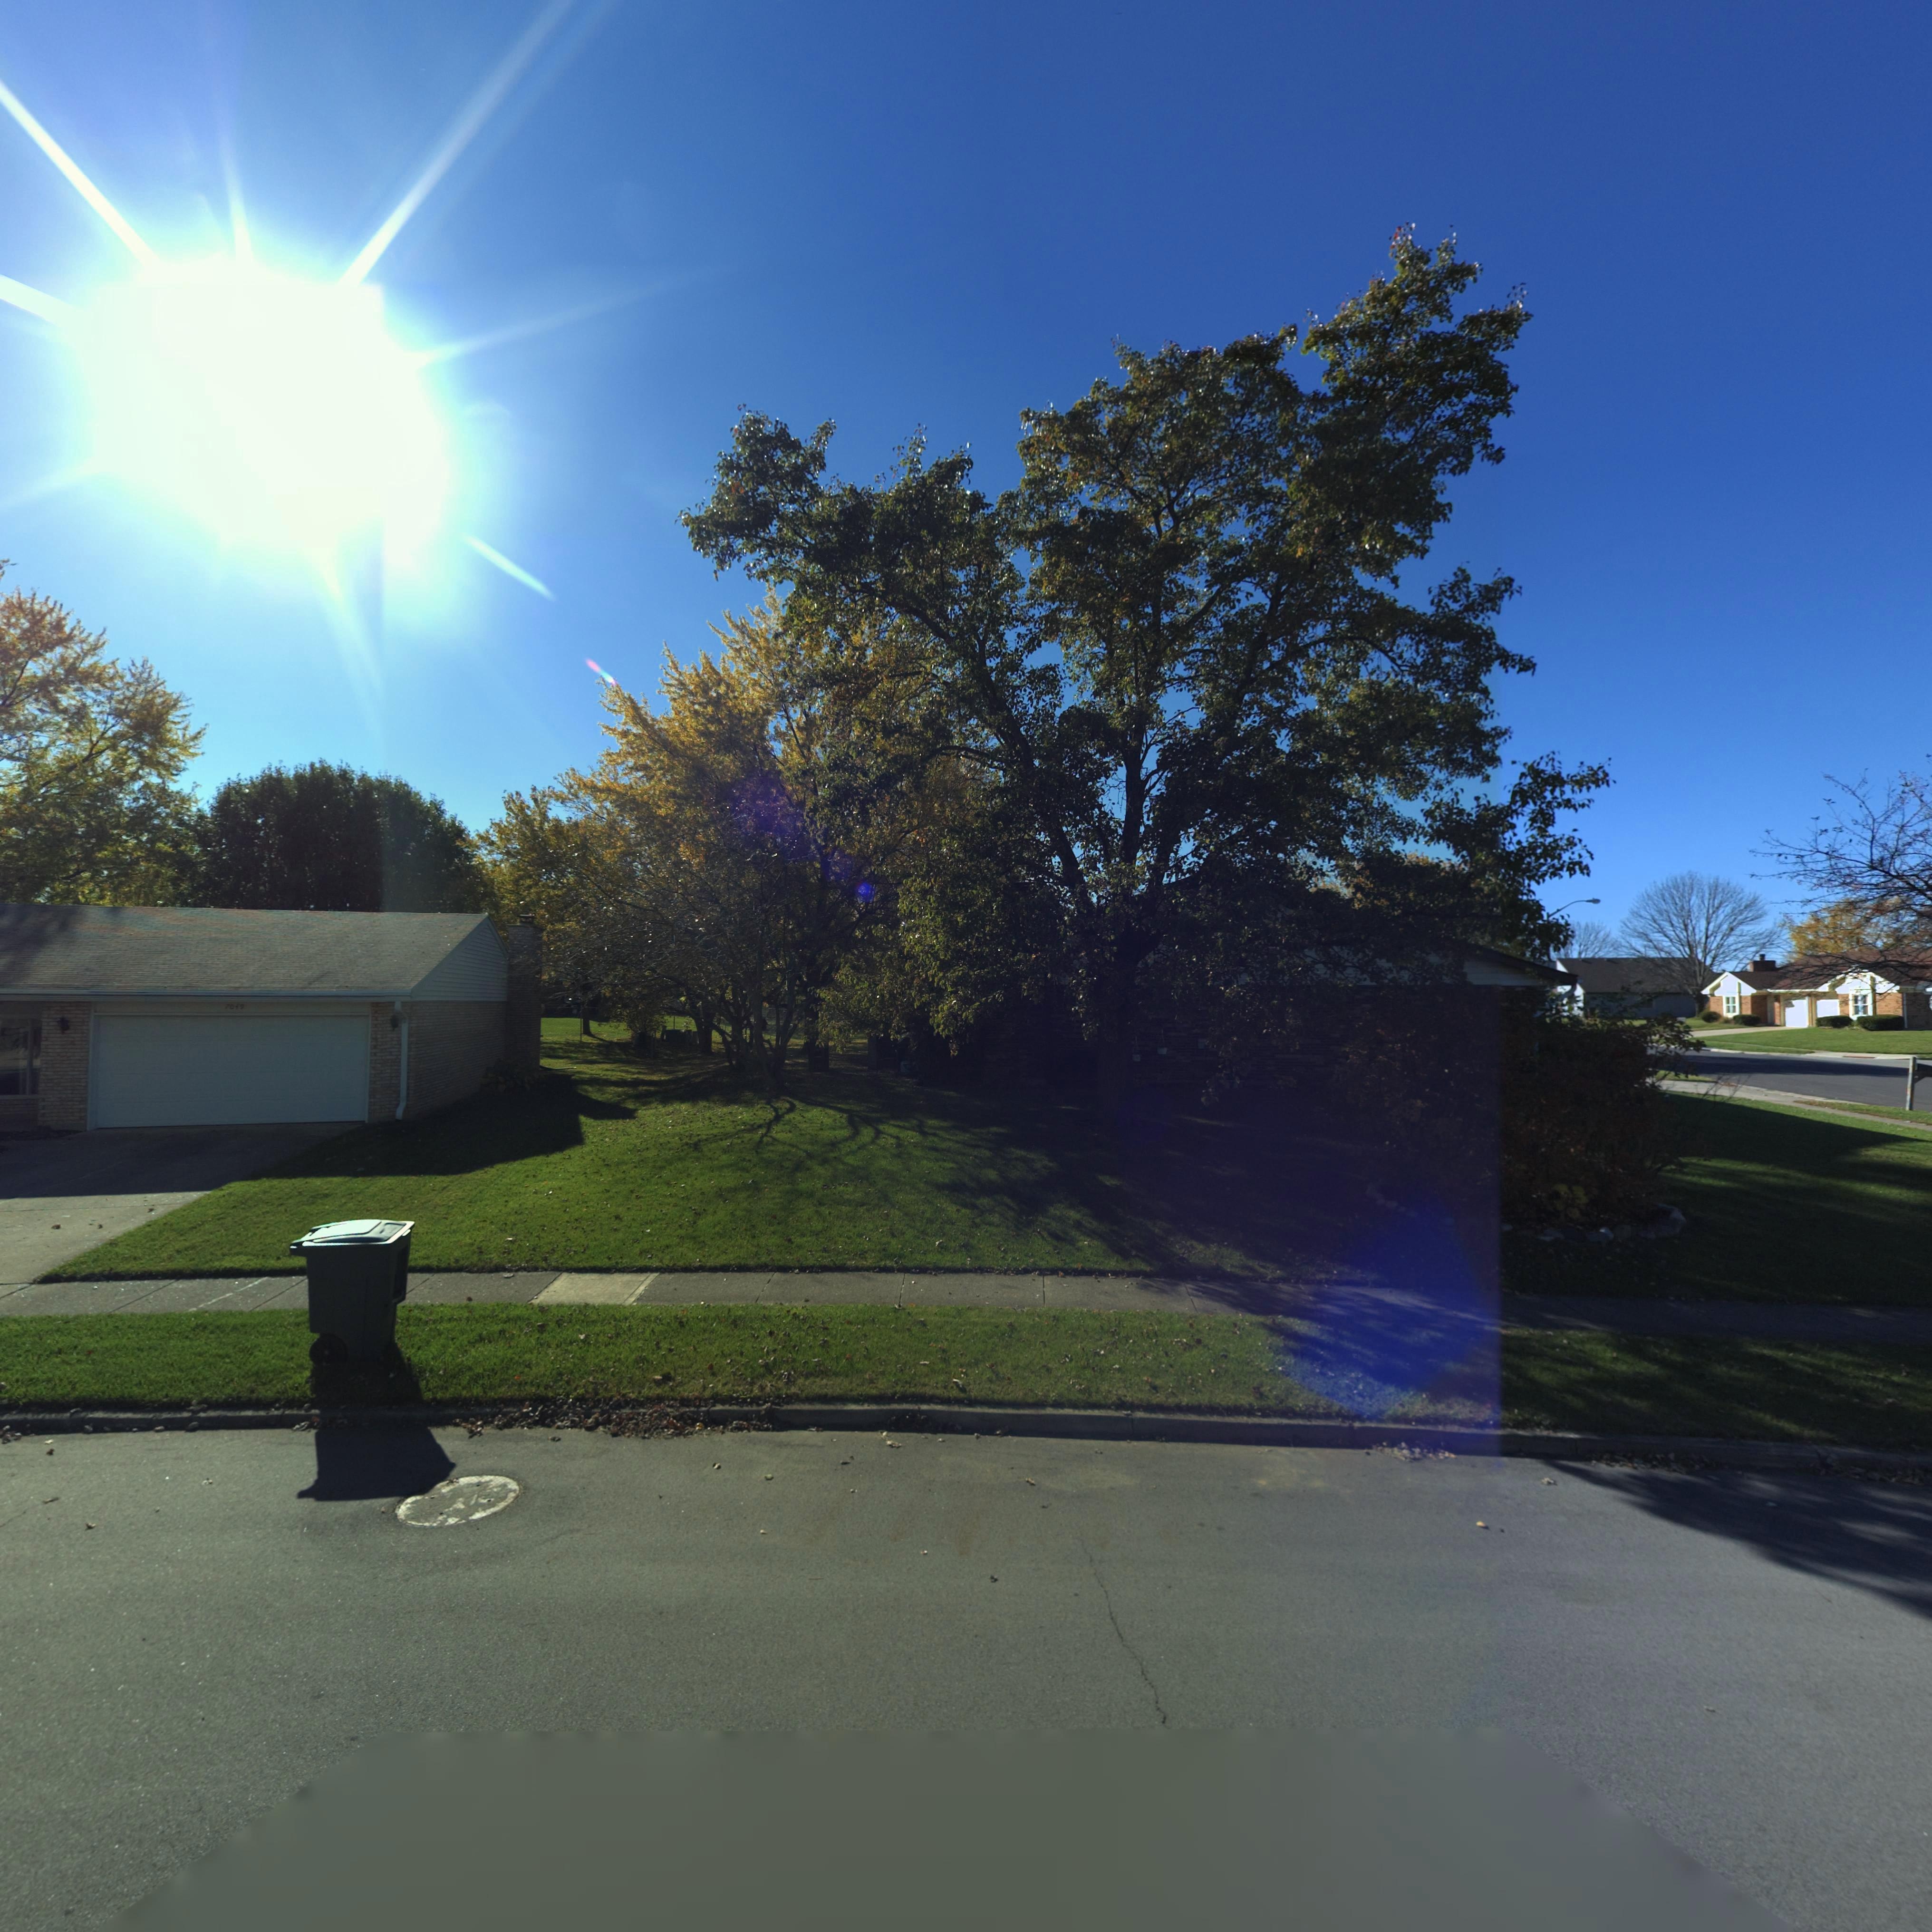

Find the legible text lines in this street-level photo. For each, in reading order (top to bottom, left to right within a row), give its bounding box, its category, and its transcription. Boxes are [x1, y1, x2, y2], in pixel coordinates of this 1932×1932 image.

[224, 1003, 245, 1010] StreetNumber: 7049